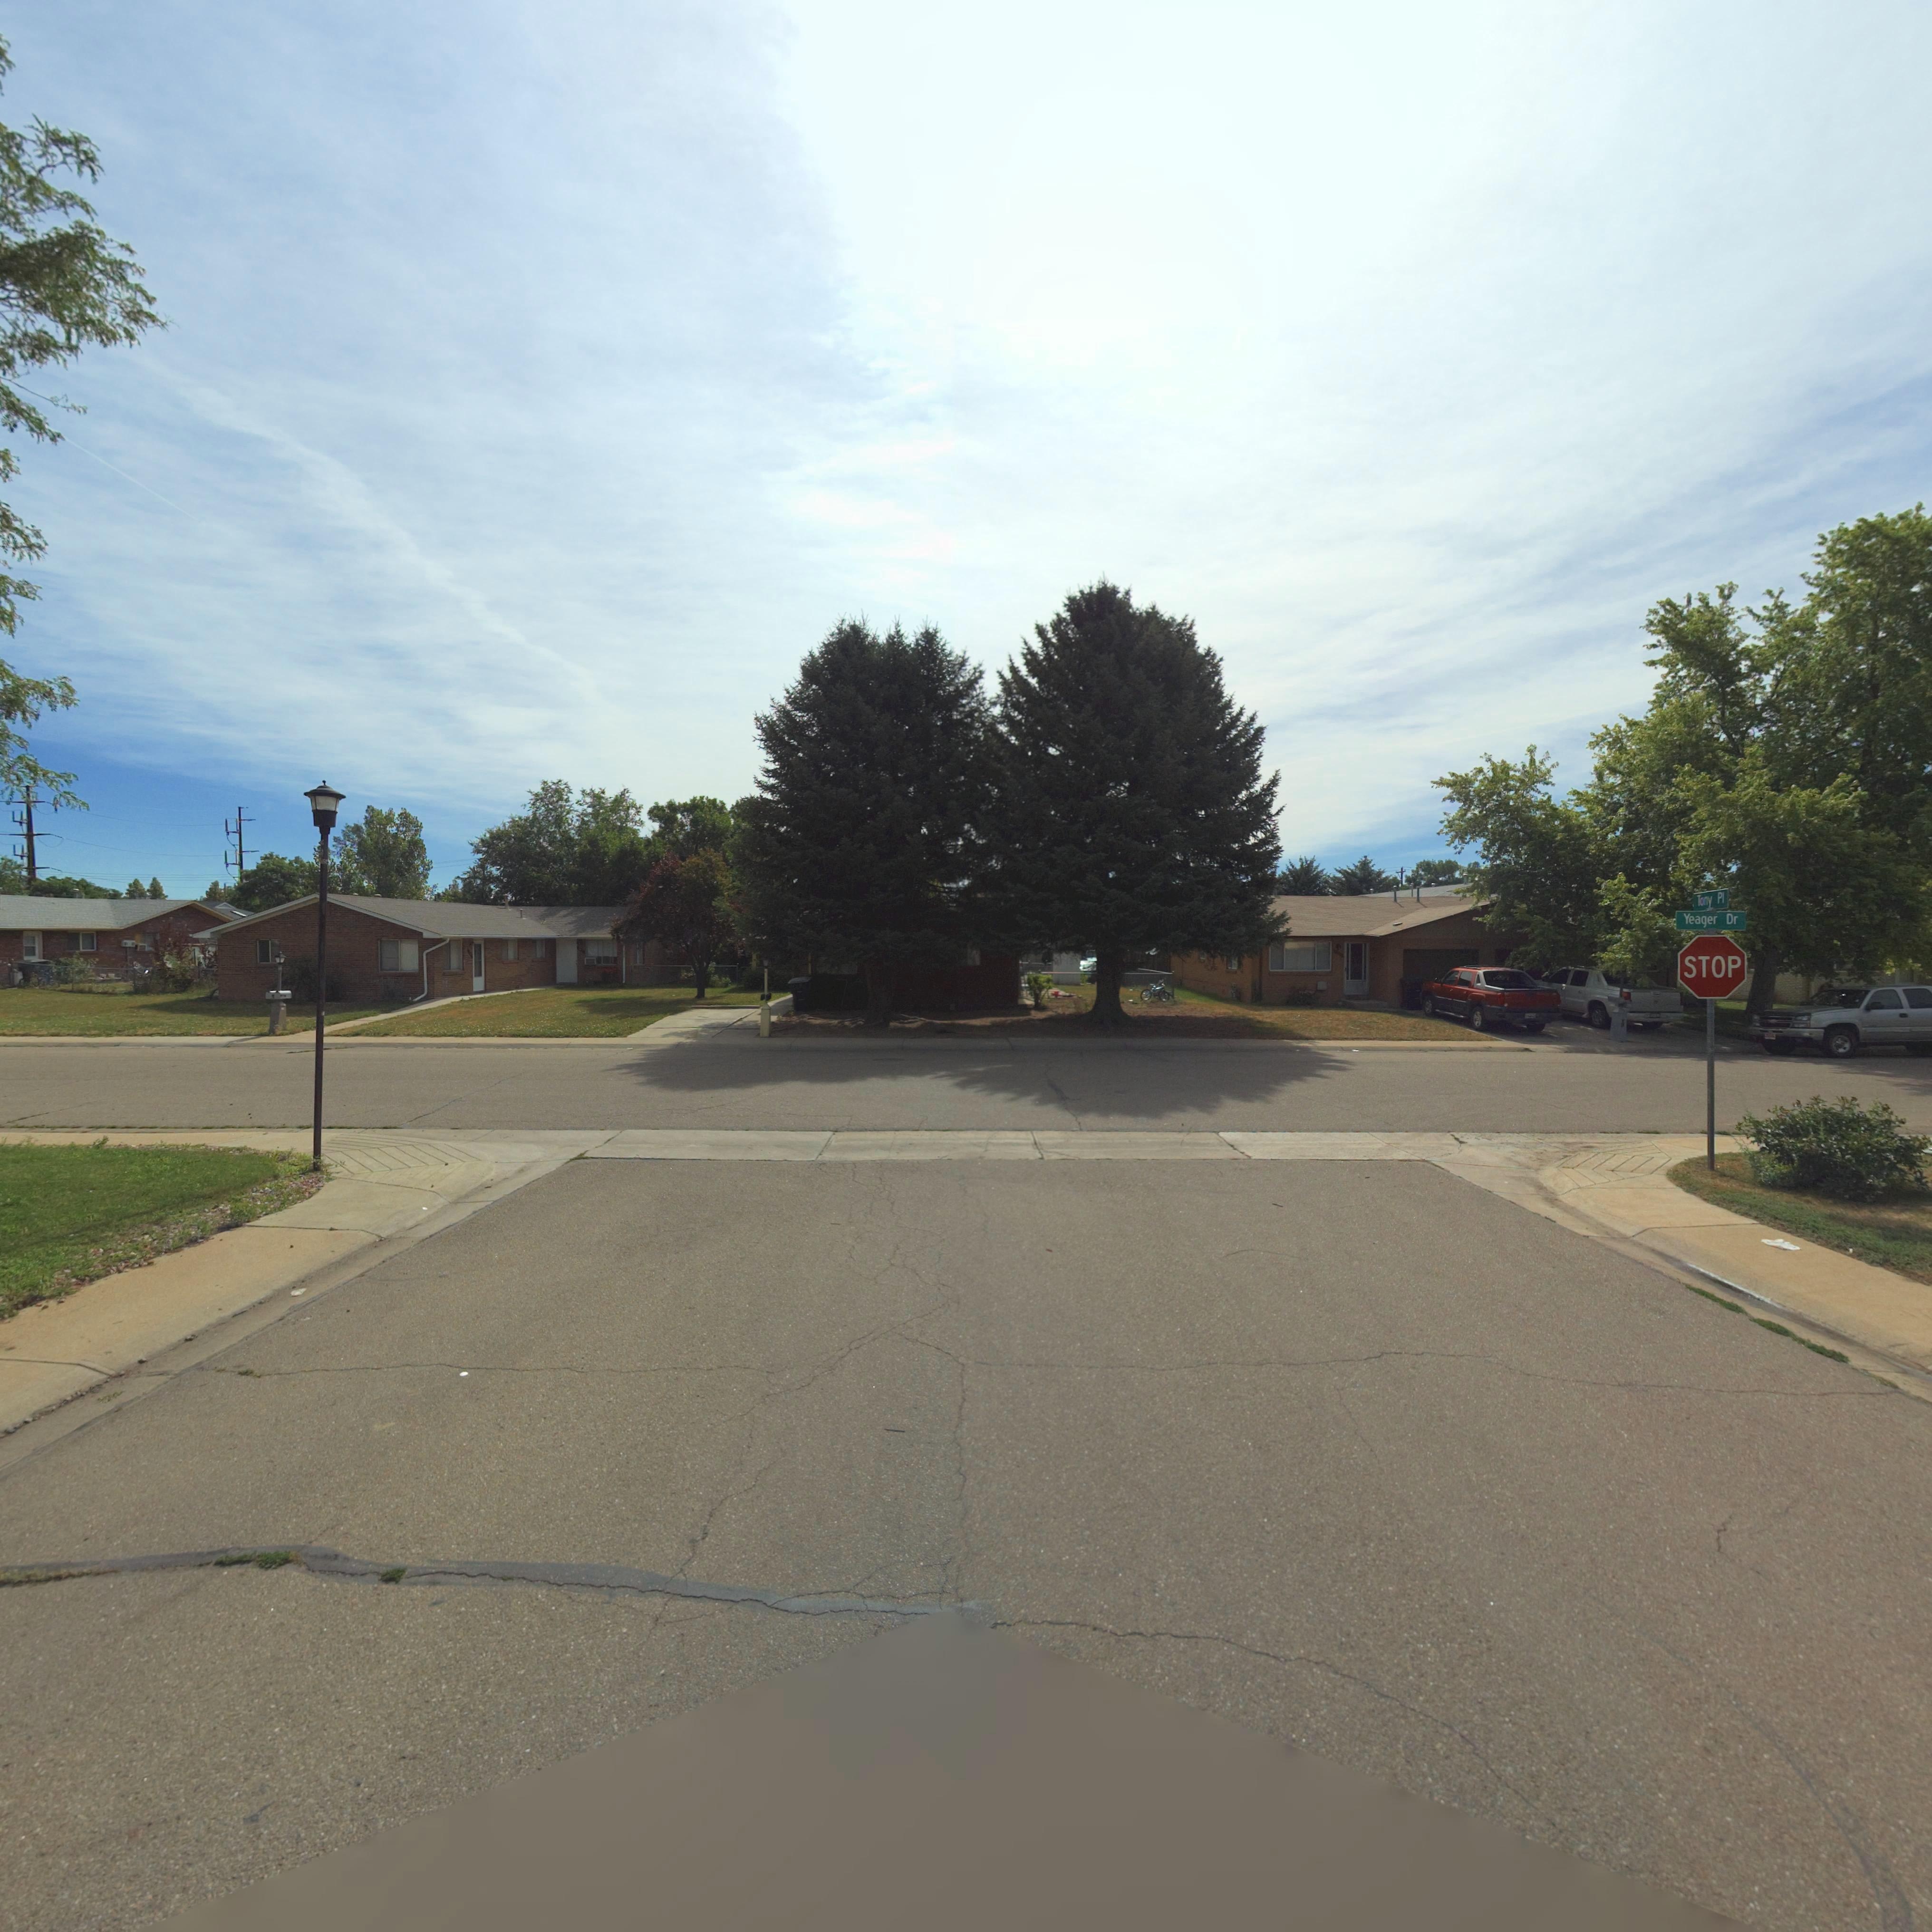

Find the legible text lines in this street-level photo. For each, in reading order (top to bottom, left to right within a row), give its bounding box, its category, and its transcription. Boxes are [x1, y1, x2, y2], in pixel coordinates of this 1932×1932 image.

[1696, 891, 1724, 908] StreetName: Tony Pl
[1683, 913, 1739, 928] StreetName: Yeager Dr